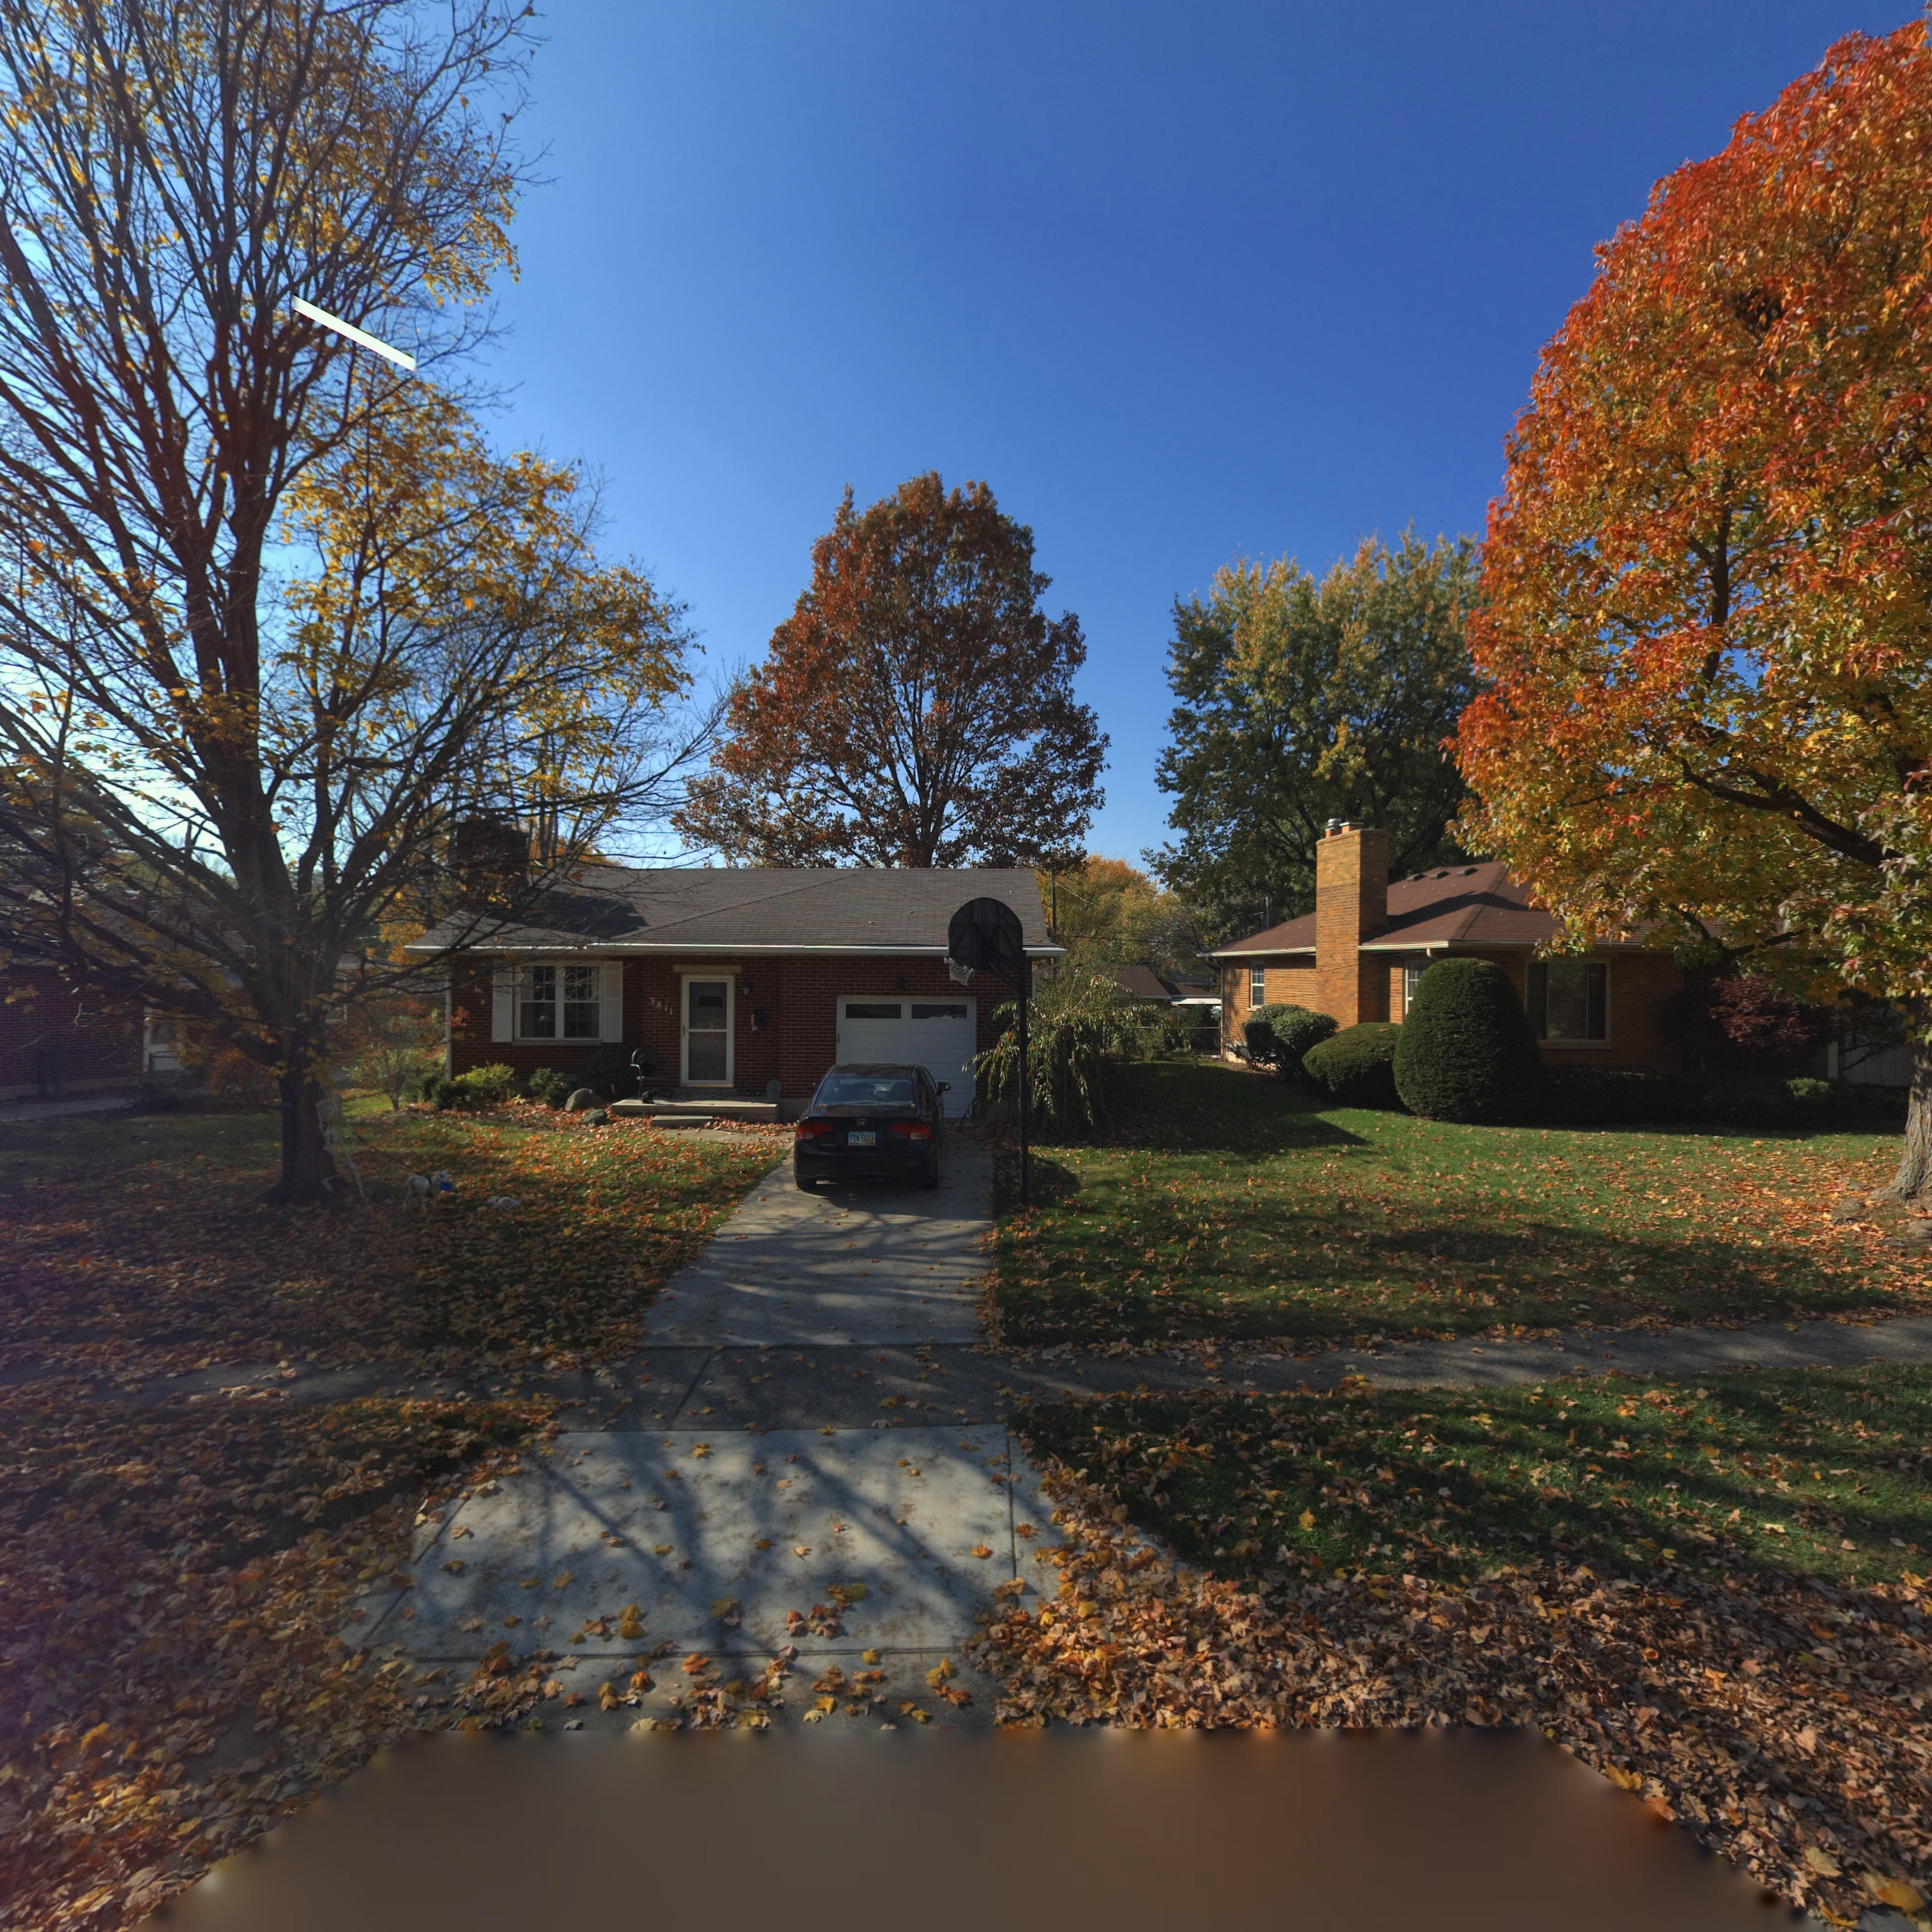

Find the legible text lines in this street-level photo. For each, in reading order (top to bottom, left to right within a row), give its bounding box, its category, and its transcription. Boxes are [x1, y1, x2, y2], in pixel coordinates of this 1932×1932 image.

[648, 995, 674, 1016] StreetNumber: 3811
[859, 1119, 865, 1126] None: H
[849, 1133, 874, 1143] None: FDN 5003